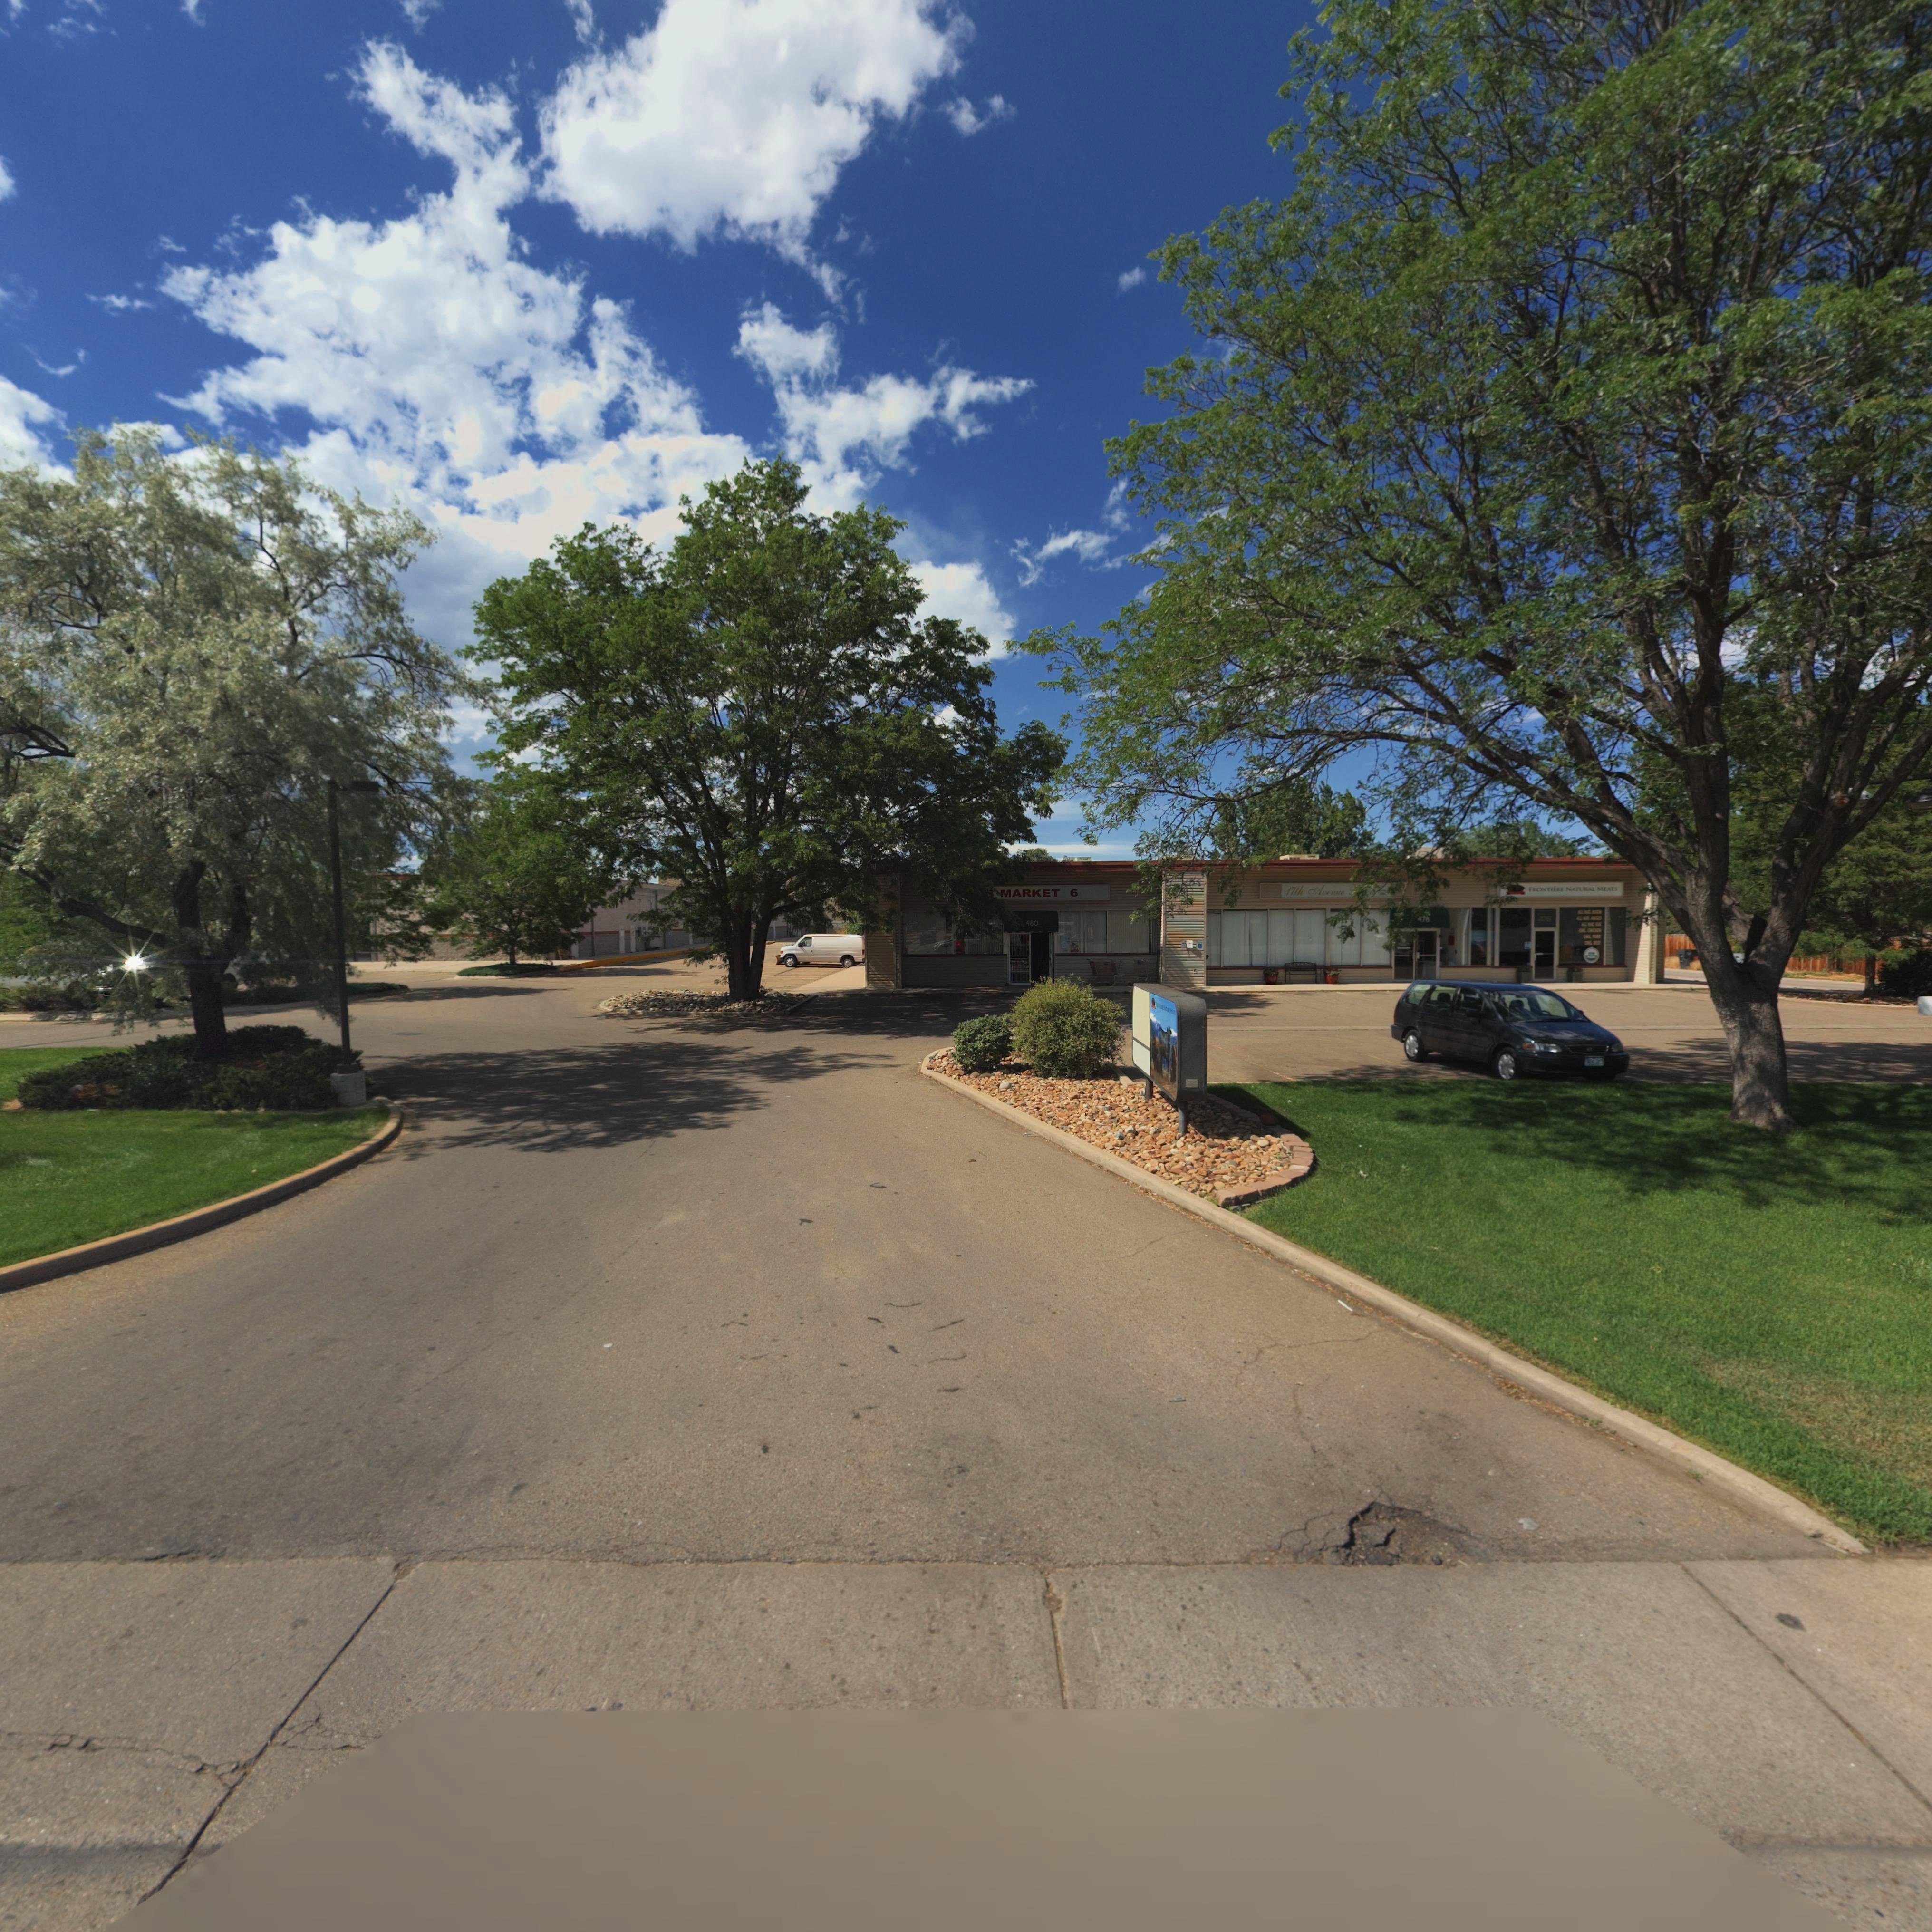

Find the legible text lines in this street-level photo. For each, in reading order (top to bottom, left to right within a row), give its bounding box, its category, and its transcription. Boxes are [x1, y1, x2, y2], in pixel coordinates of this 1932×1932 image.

[977, 888, 1079, 898] StreetNumber: ** MARKET 6
[1285, 883, 1391, 896] BusinessName: 17th A*enue *****
[1528, 886, 1618, 892] BusinessName: FRONTIER* NATURAL MEATS
[1025, 919, 1038, 927] StreetNumber: 480
[1417, 916, 1430, 922] StreetNumber: 478
[1537, 915, 1552, 923] StreetNumber: 476
[1155, 1002, 1177, 1015] BusinessName: ******** ****** ME*T*